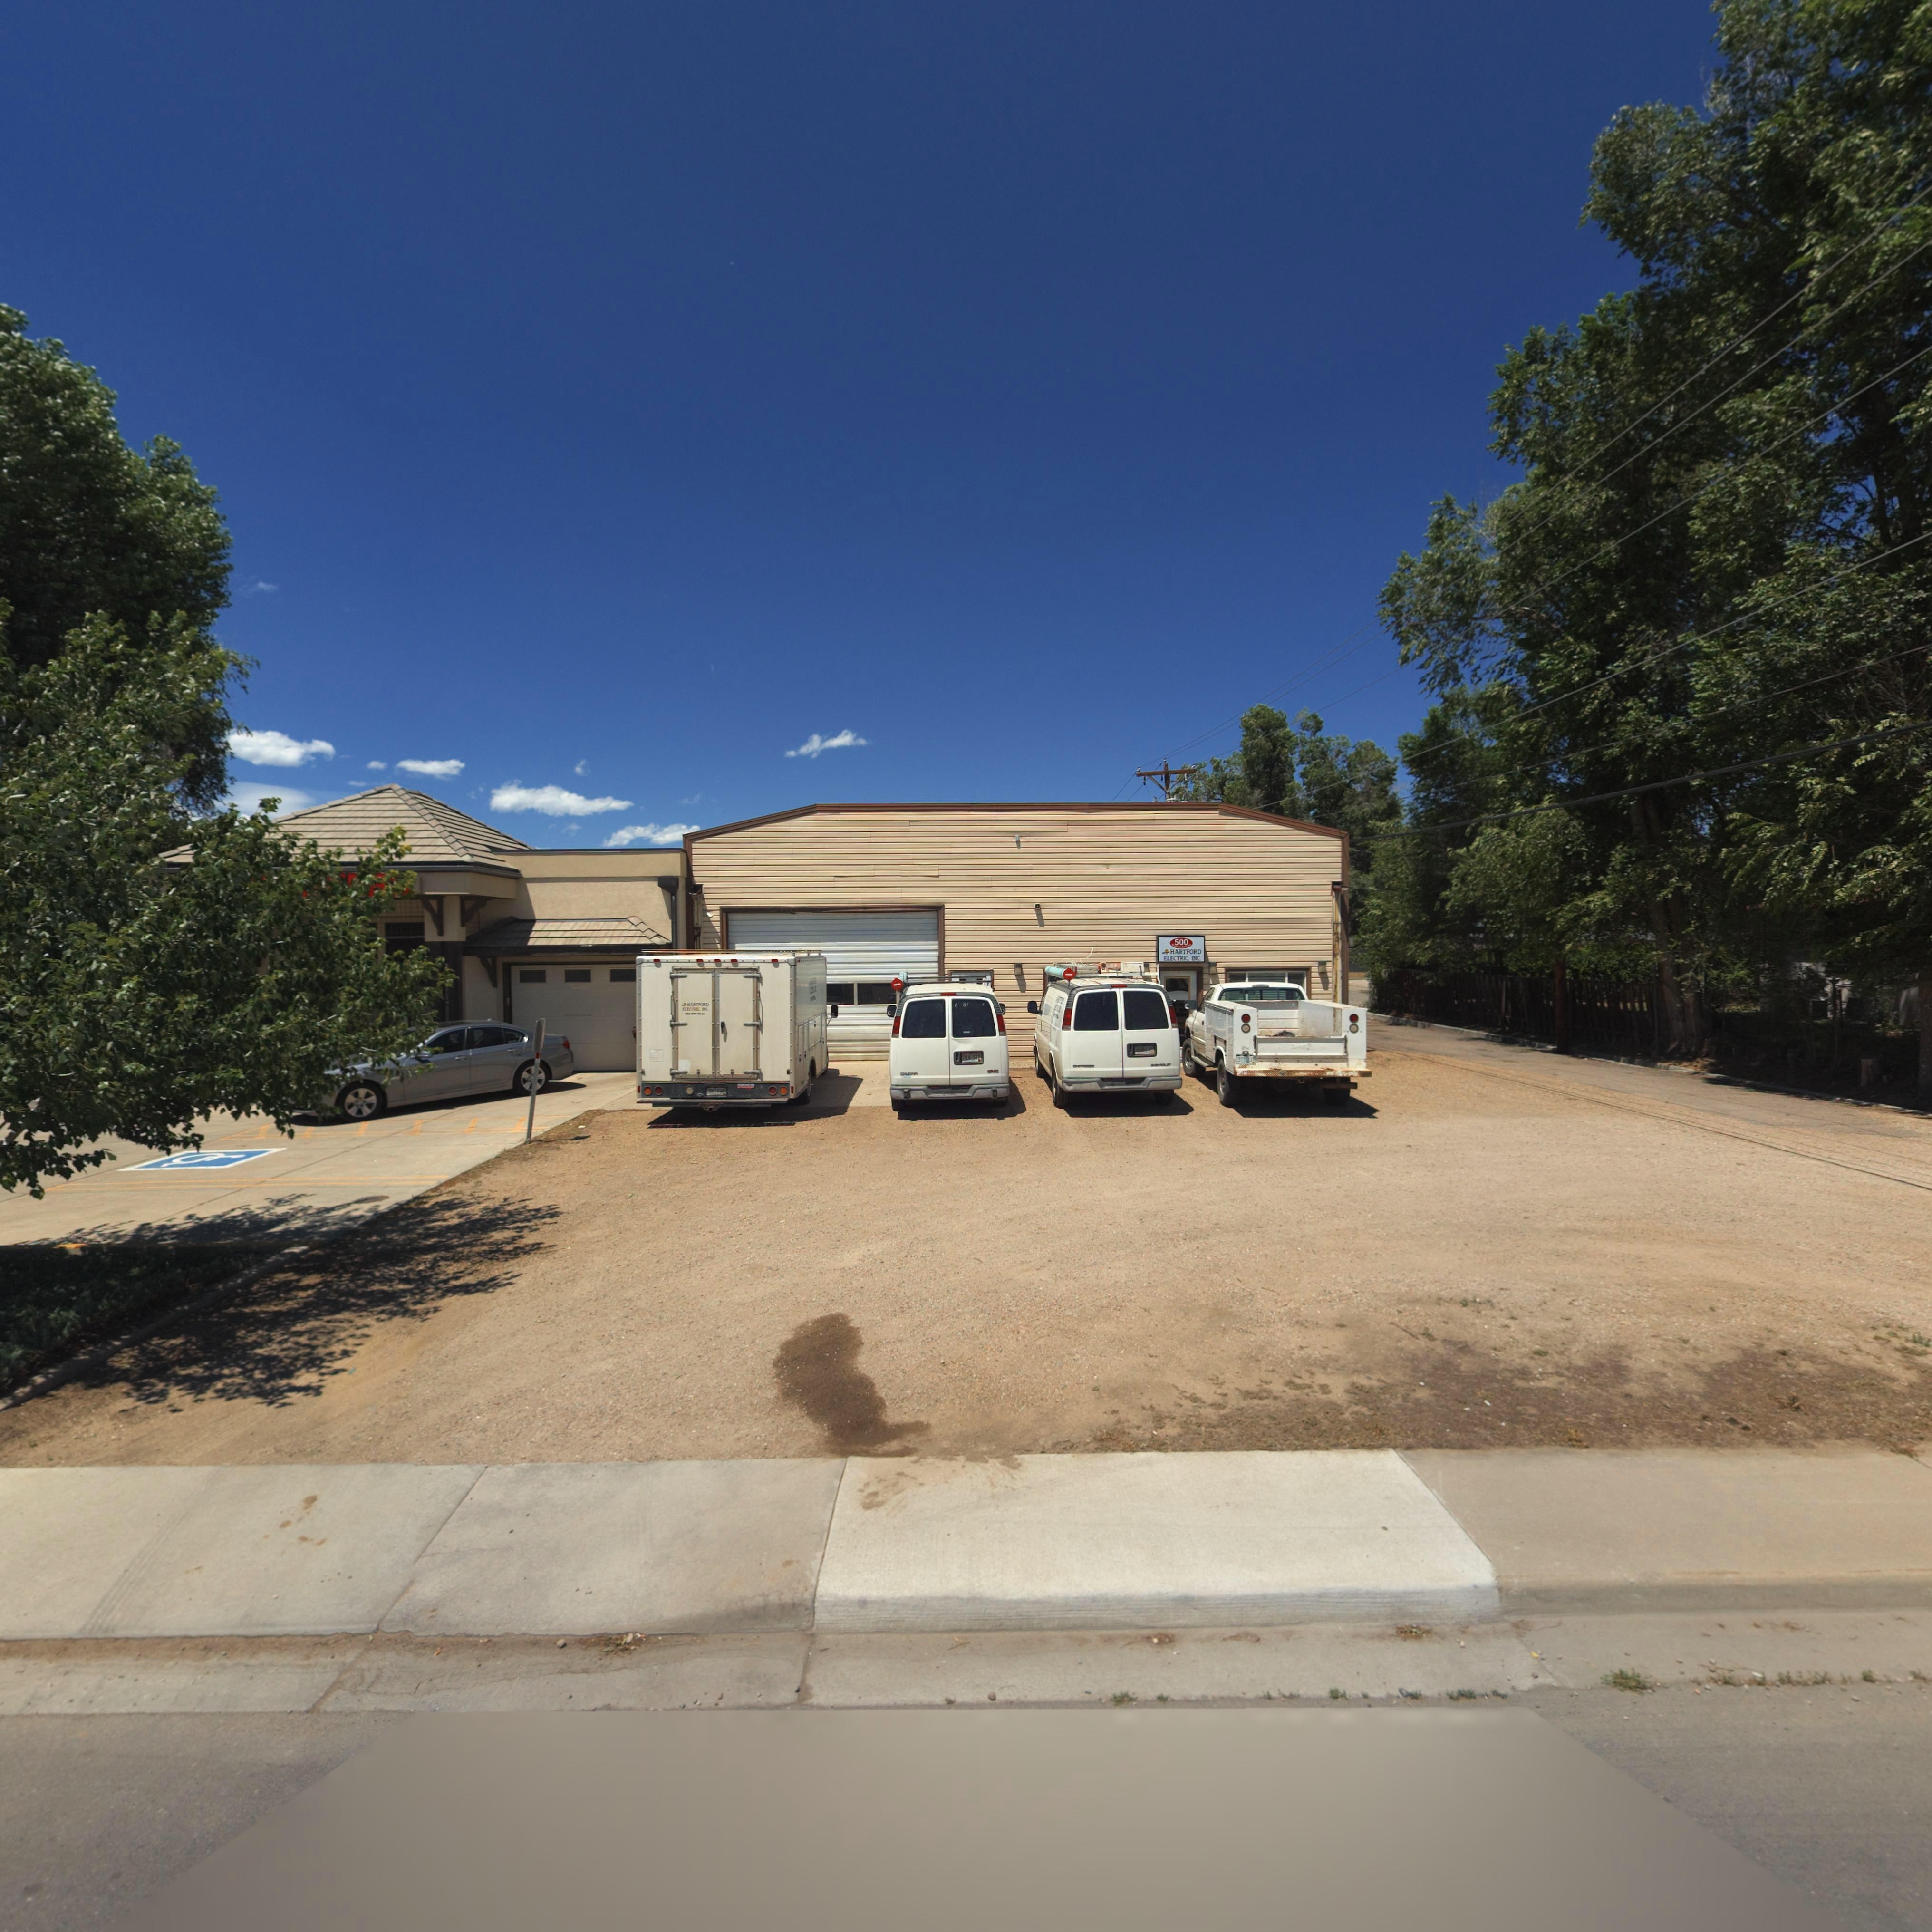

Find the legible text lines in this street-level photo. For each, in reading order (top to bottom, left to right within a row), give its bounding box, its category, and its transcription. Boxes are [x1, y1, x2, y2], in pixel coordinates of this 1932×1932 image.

[1174, 938, 1188, 946] StreetNumber: 500
[1170, 949, 1201, 954] BusinessName: HARTFORD
[1164, 955, 1201, 960] BusinessName: ELECTRIC INC